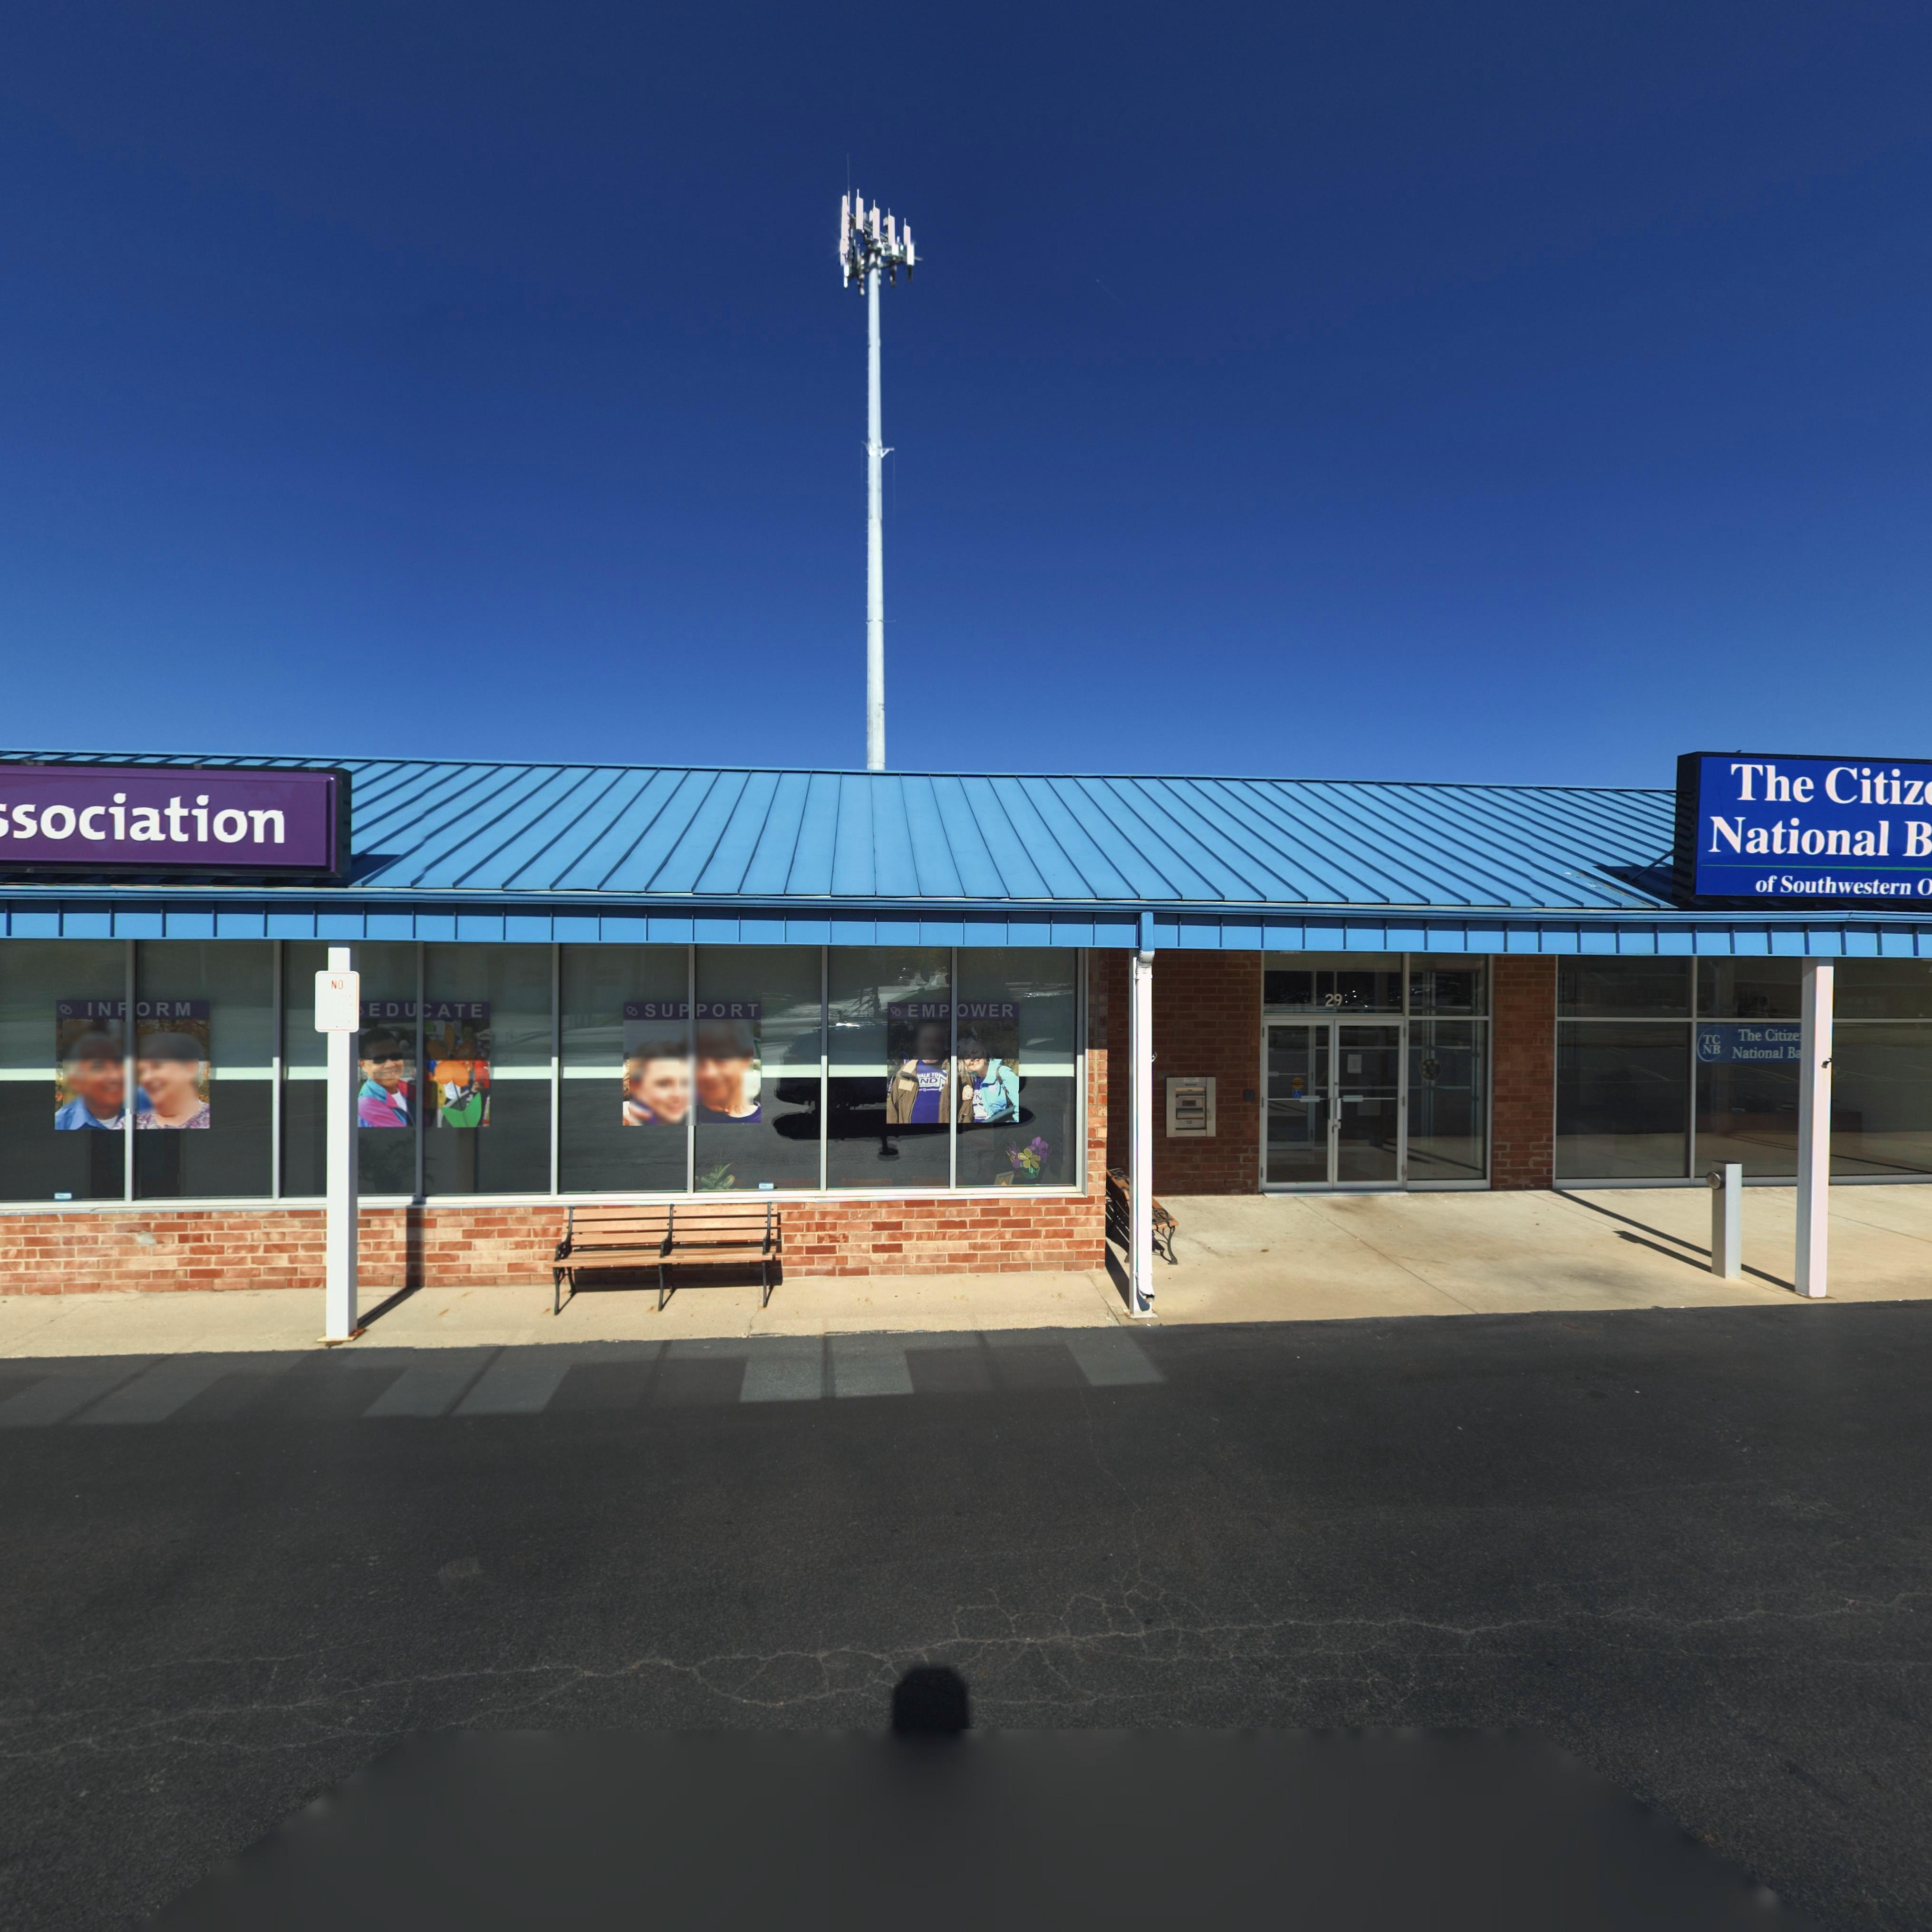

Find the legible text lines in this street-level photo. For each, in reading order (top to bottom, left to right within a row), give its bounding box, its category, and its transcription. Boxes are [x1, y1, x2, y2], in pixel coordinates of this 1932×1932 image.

[1729, 762, 1925, 806] BusinessName: The Citiz
[10, 791, 287, 846] BusinessName: sociation
[1706, 815, 1932, 858] BusinessName: National B
[1754, 873, 1932, 898] BusinessName: of Southwestern O
[330, 979, 344, 990] None: NO
[1324, 992, 1344, 1008] StreetNumber: 29
[86, 1001, 192, 1017] None: IN*ORM
[367, 1002, 483, 1018] None: EDU*ATE
[644, 1003, 760, 1018] None: SUPPORT
[906, 1003, 1014, 1018] None: EMPOWER
[1702, 1034, 1721, 1045] None: TC
[1736, 1028, 1800, 1043] BusinessName: The Citize
[1701, 1044, 1721, 1055] None: NB
[1730, 1045, 1802, 1060] BusinessName: National Ba